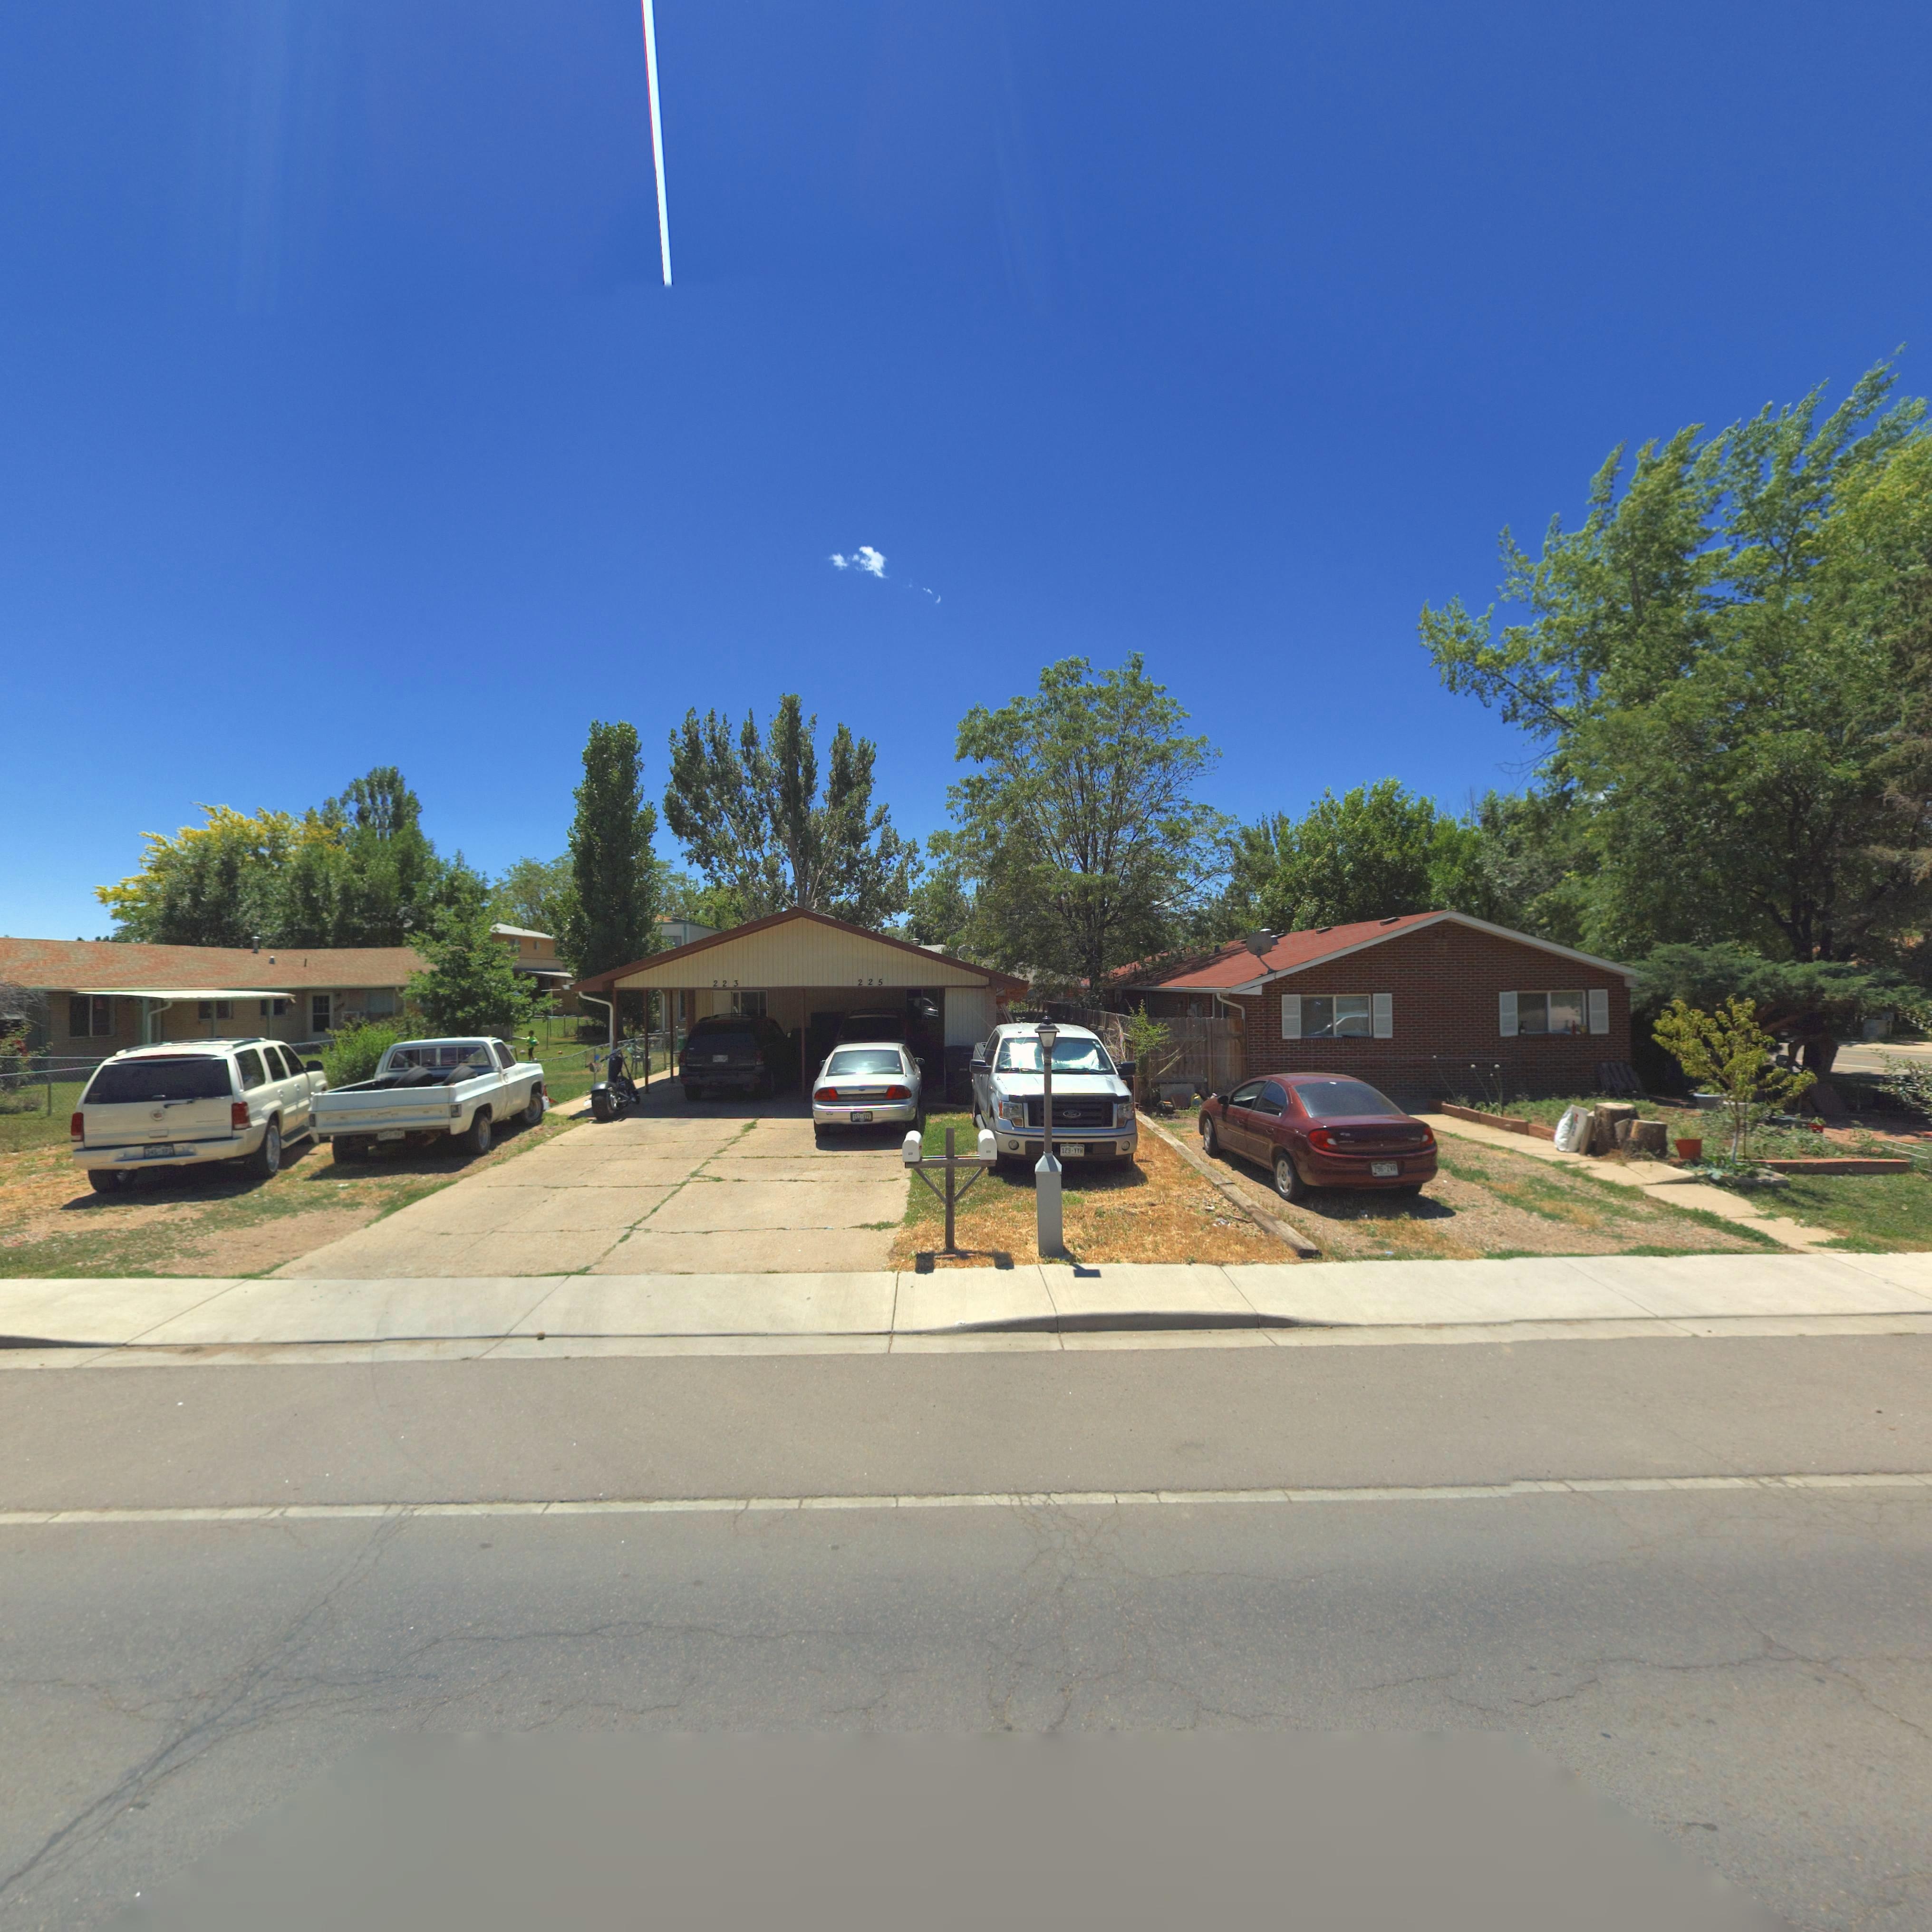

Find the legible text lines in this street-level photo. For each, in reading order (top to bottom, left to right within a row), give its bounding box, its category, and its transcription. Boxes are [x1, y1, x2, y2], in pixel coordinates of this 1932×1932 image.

[713, 980, 738, 987] StreetNumber: 223
[857, 978, 883, 985] StreetNumber: 225